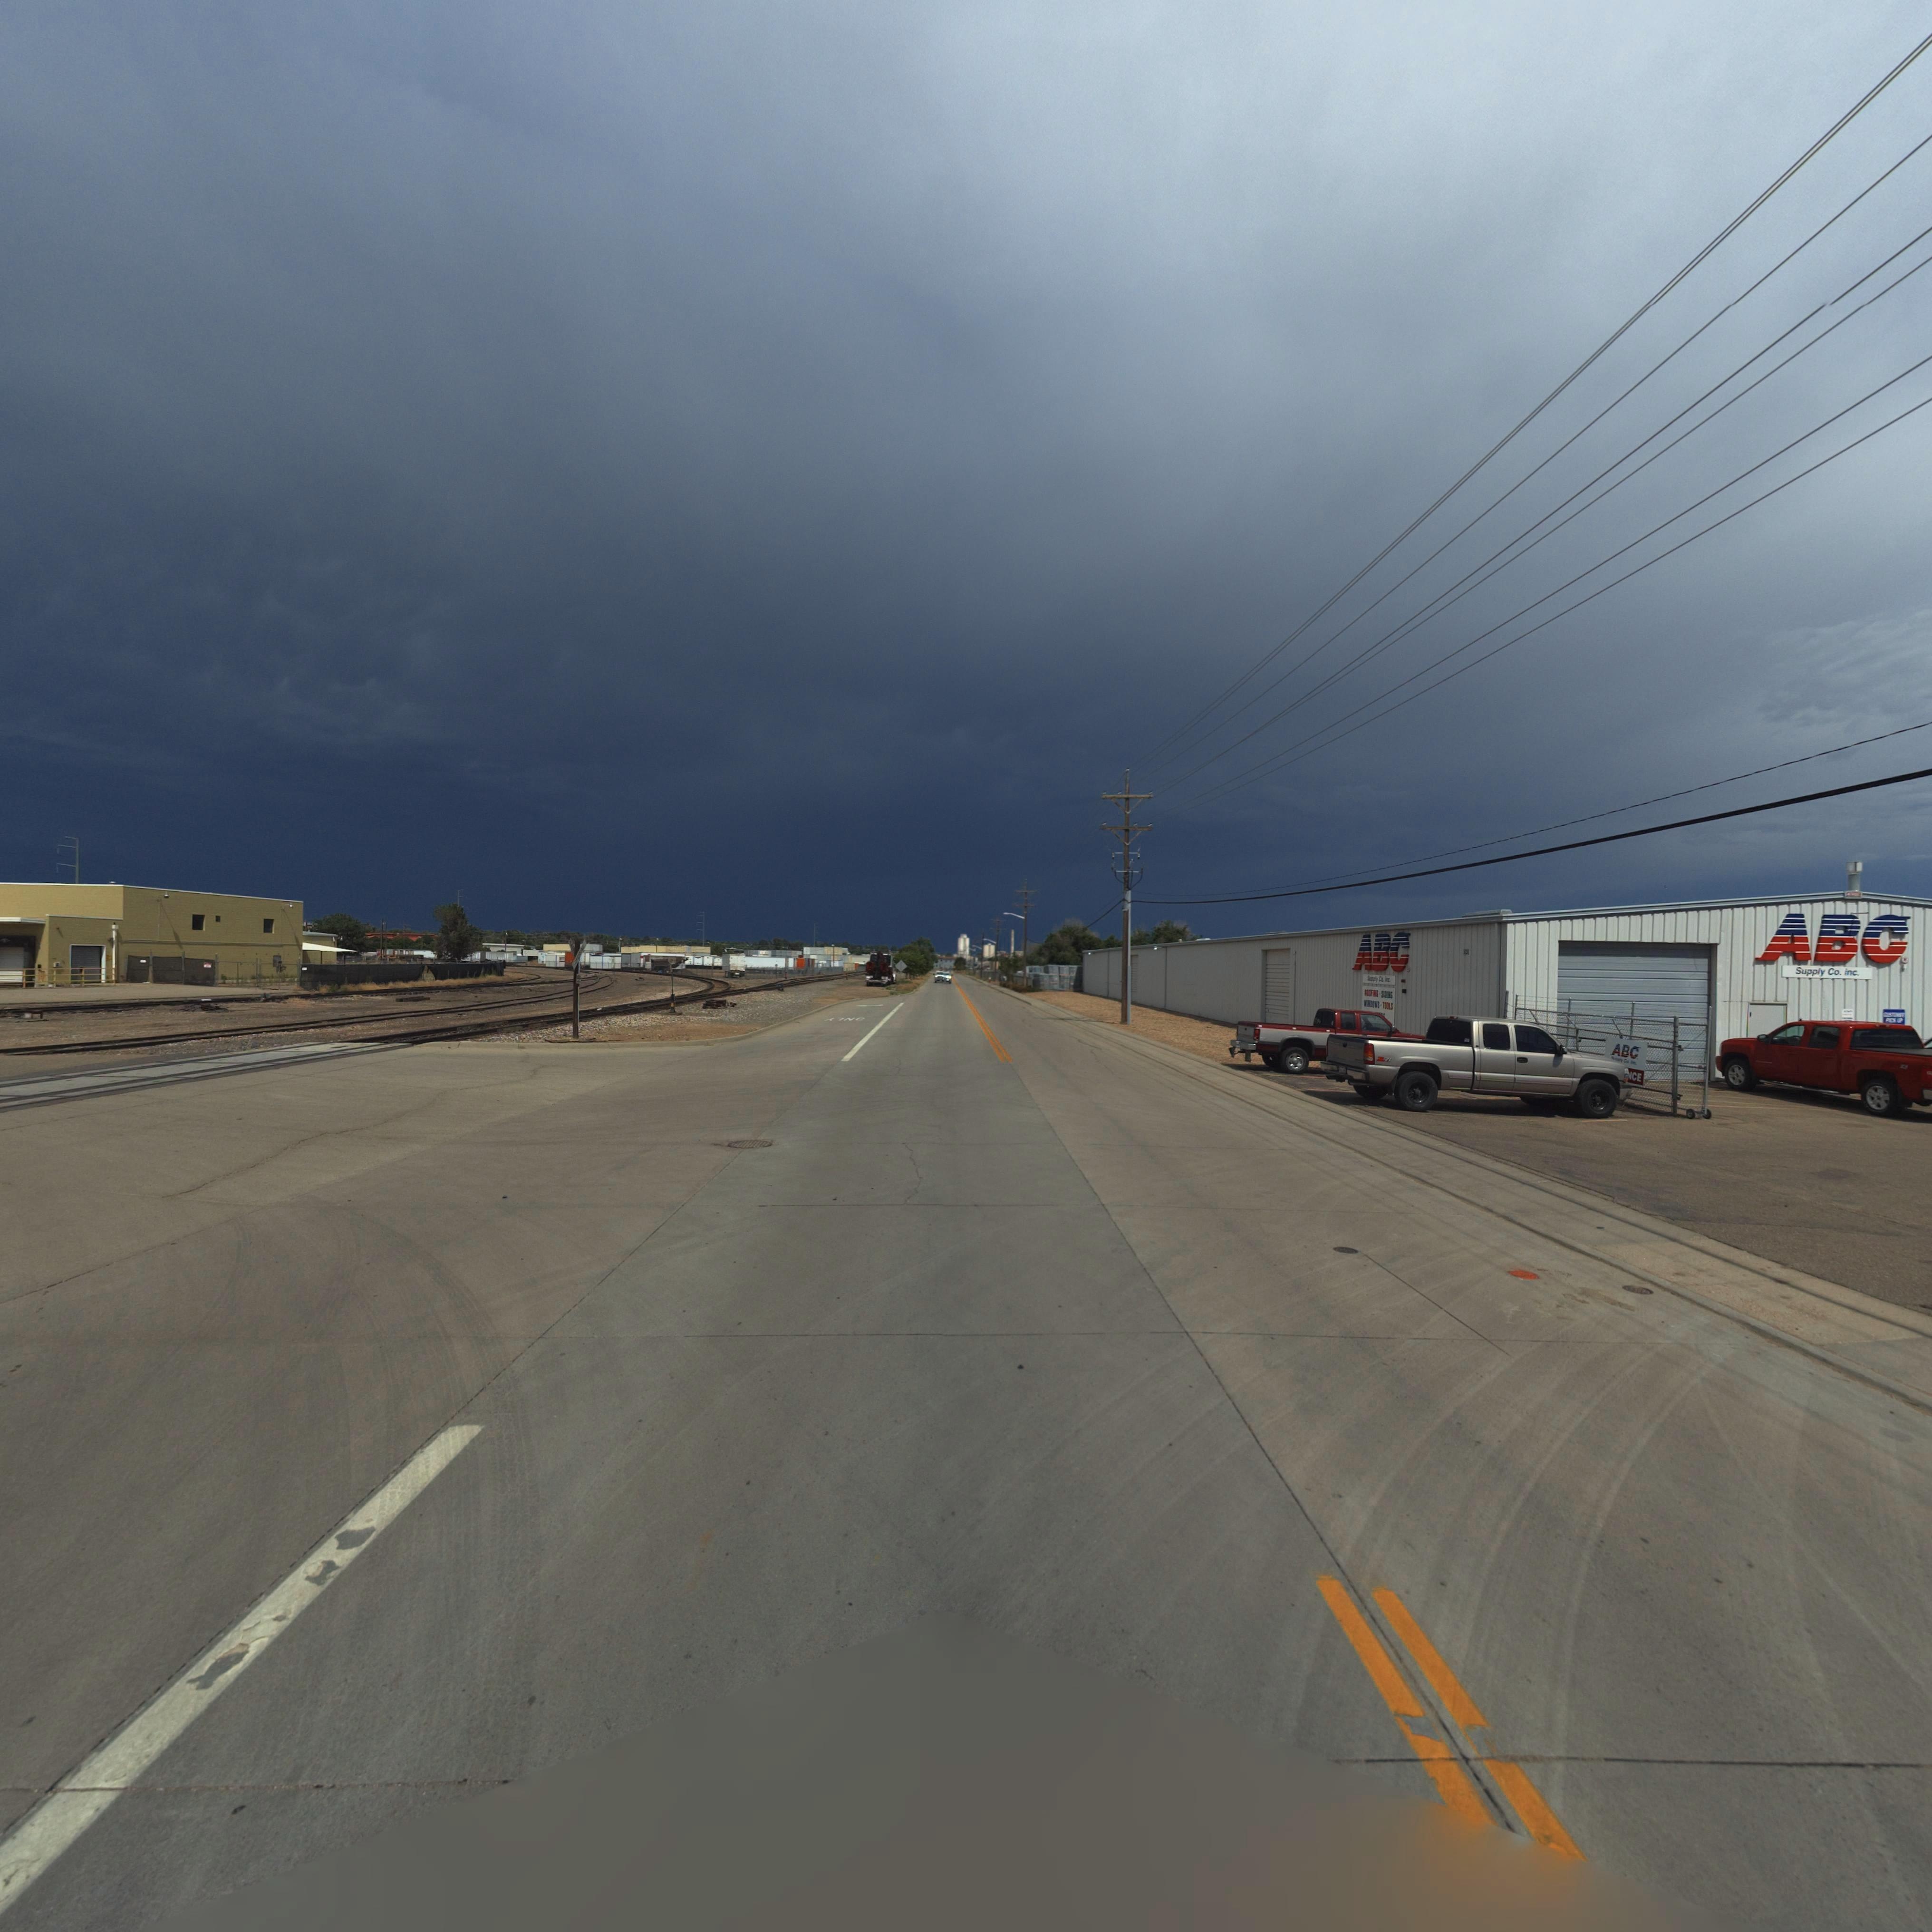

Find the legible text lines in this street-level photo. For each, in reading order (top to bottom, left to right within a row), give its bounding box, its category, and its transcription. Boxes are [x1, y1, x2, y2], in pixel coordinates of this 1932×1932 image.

[1753, 912, 1911, 966] BusinessName: ABC
[1351, 931, 1410, 973] BusinessName: ABC
[1366, 975, 1391, 983] BusinessName: Supply Co. inc.
[1795, 966, 1860, 977] BusinessName: Supply Co. inc.
[1609, 1043, 1639, 1059] BusinessName: ABC
[1623, 1058, 1637, 1065] BusinessName: Co **c